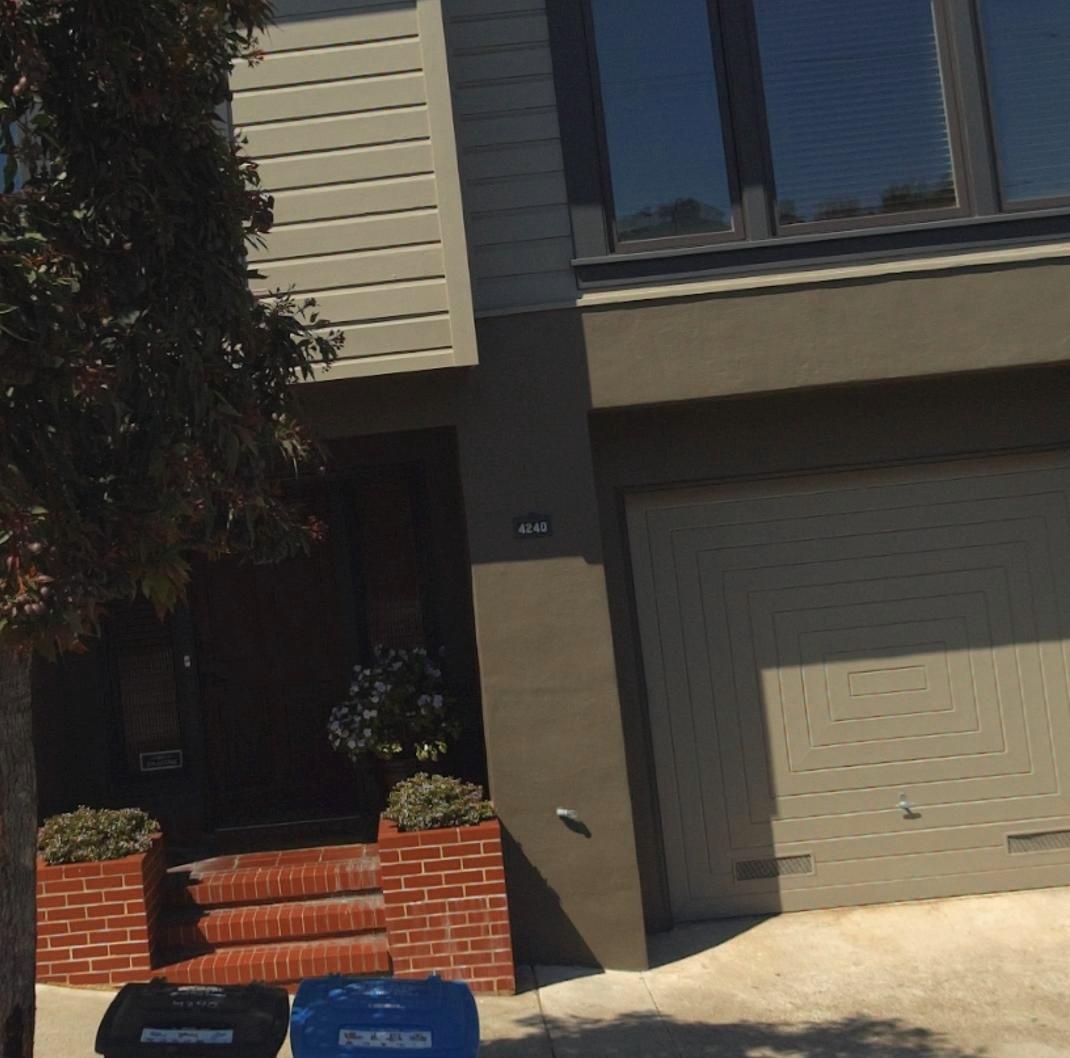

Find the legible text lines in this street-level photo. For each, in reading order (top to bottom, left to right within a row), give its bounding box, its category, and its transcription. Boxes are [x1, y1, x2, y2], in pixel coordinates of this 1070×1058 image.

[516, 519, 549, 537] StreetNumber: 4240